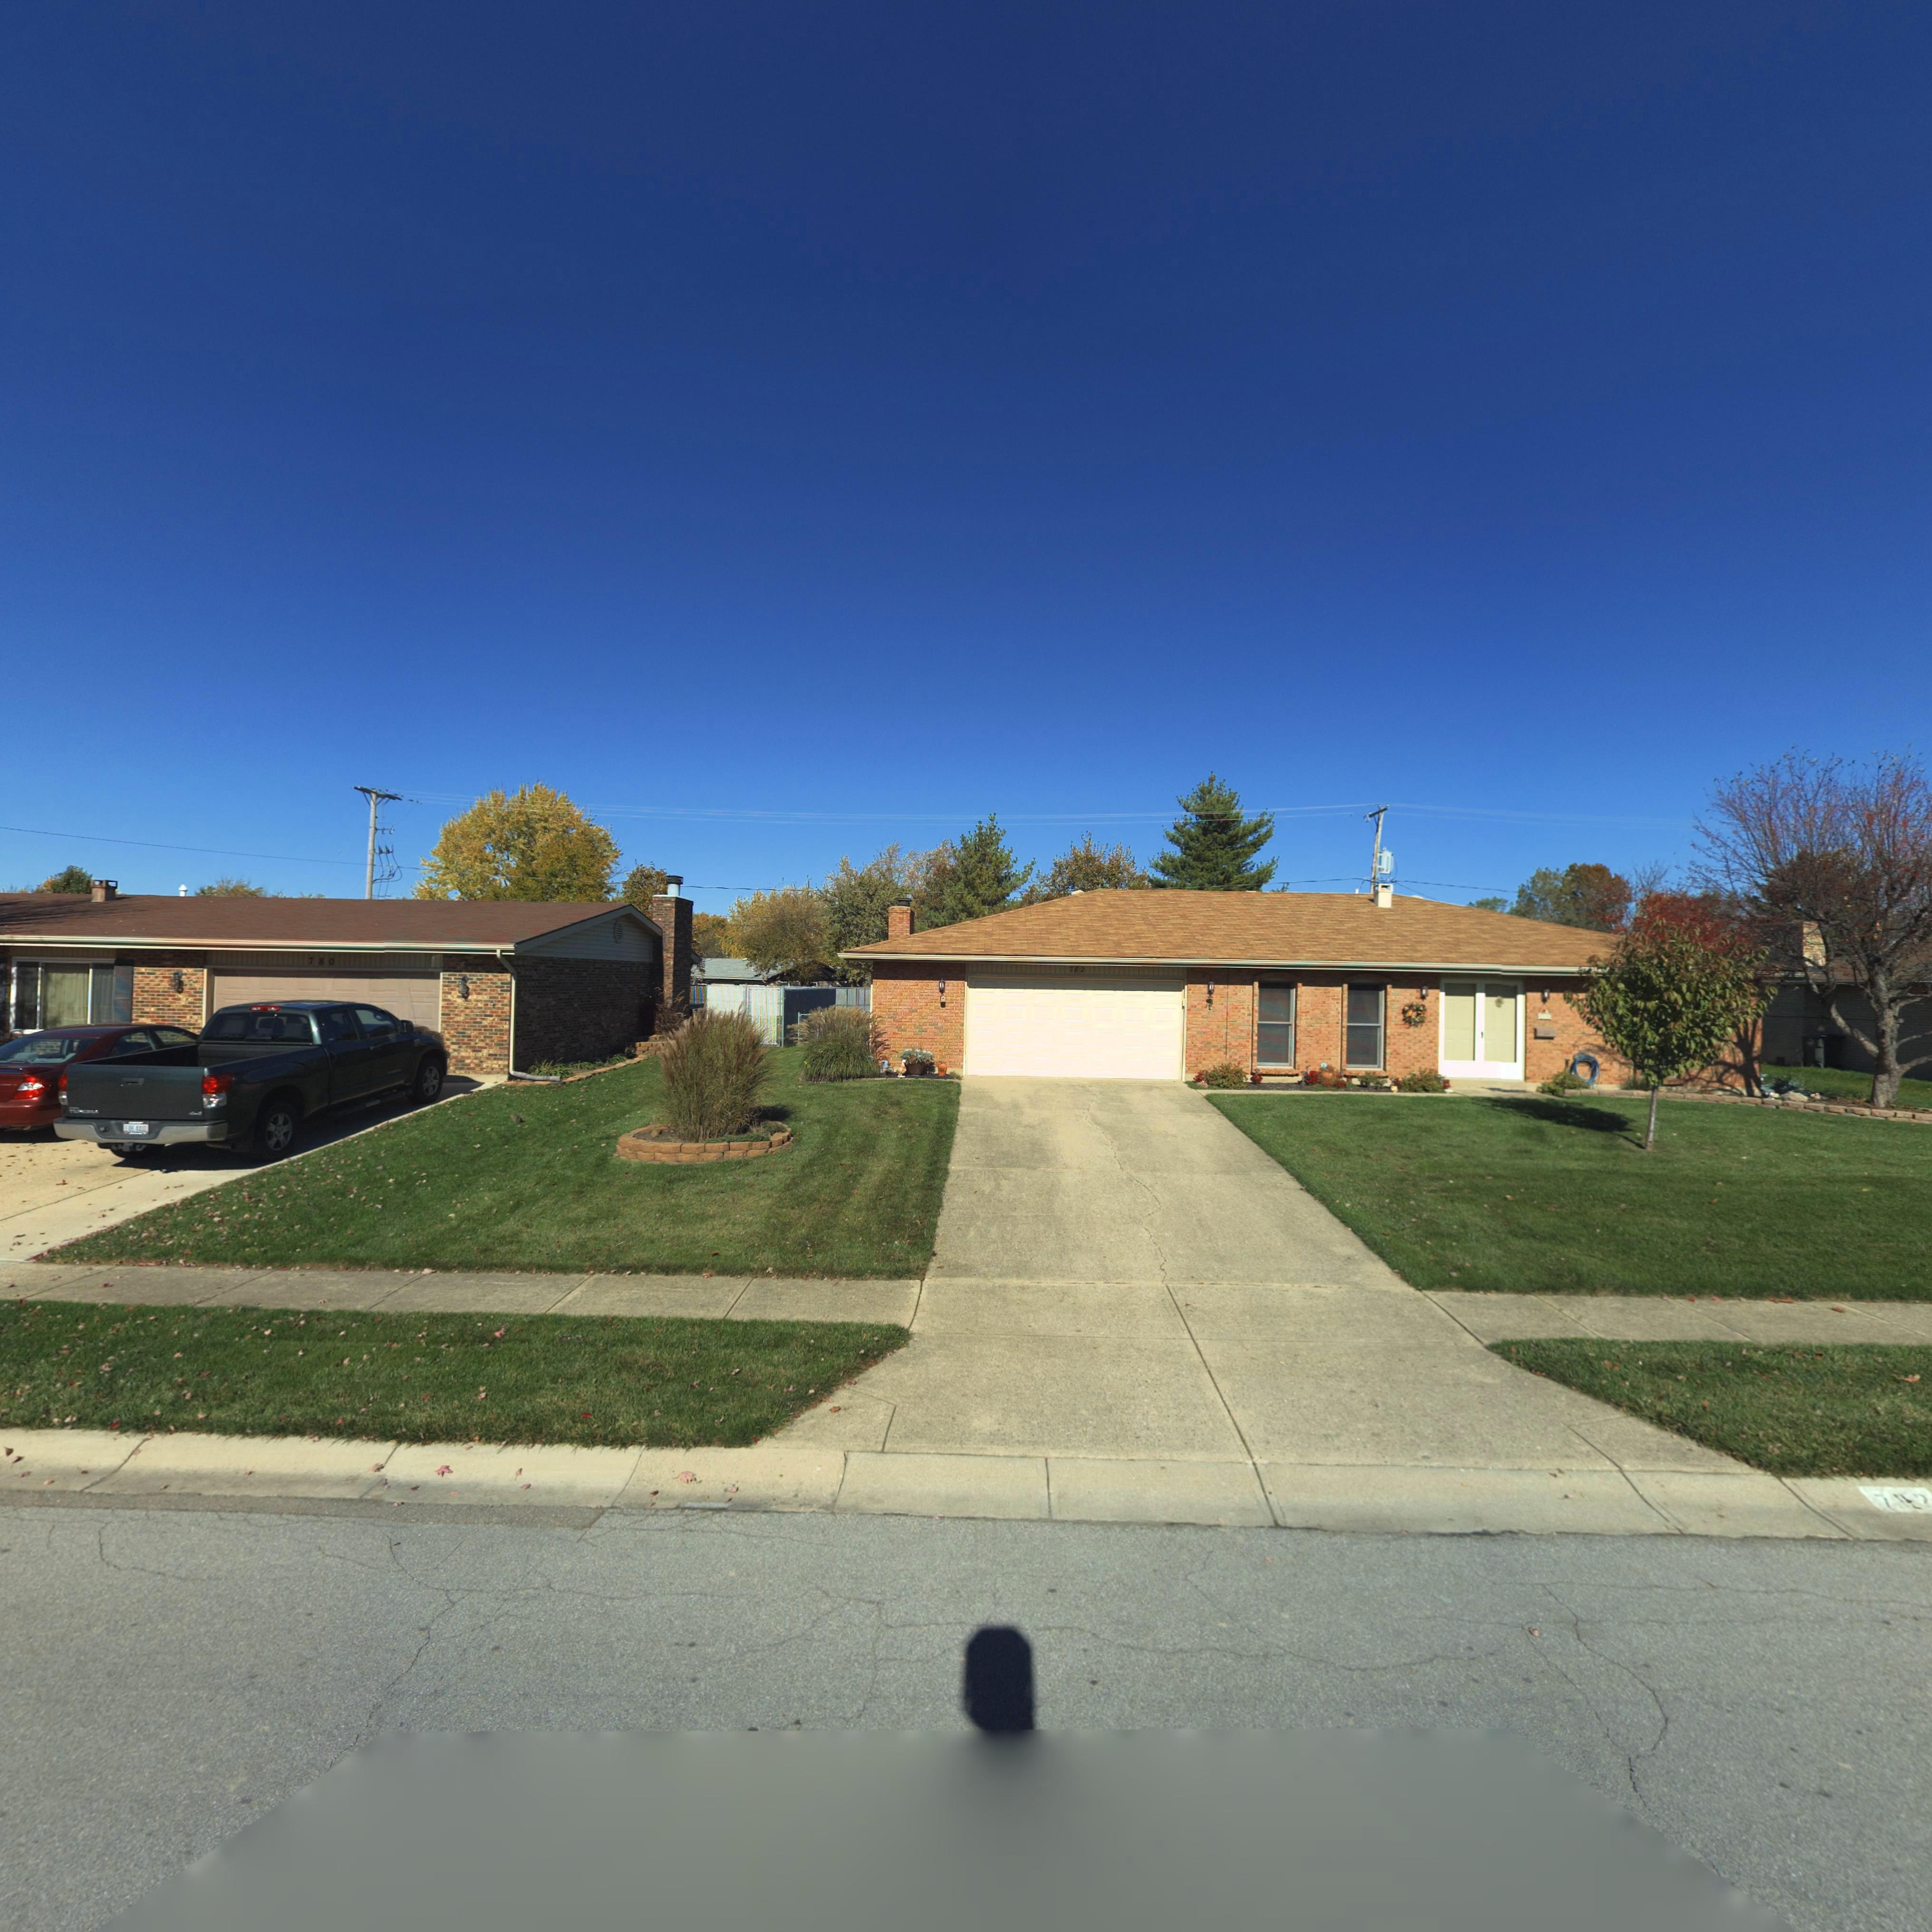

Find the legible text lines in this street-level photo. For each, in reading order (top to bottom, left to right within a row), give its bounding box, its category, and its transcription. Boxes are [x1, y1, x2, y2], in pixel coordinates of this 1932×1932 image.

[308, 956, 335, 966] StreetNumber: 780
[1069, 966, 1084, 973] StreetNumber: 782
[1871, 1492, 1932, 1511] StreetNumber: 7*2